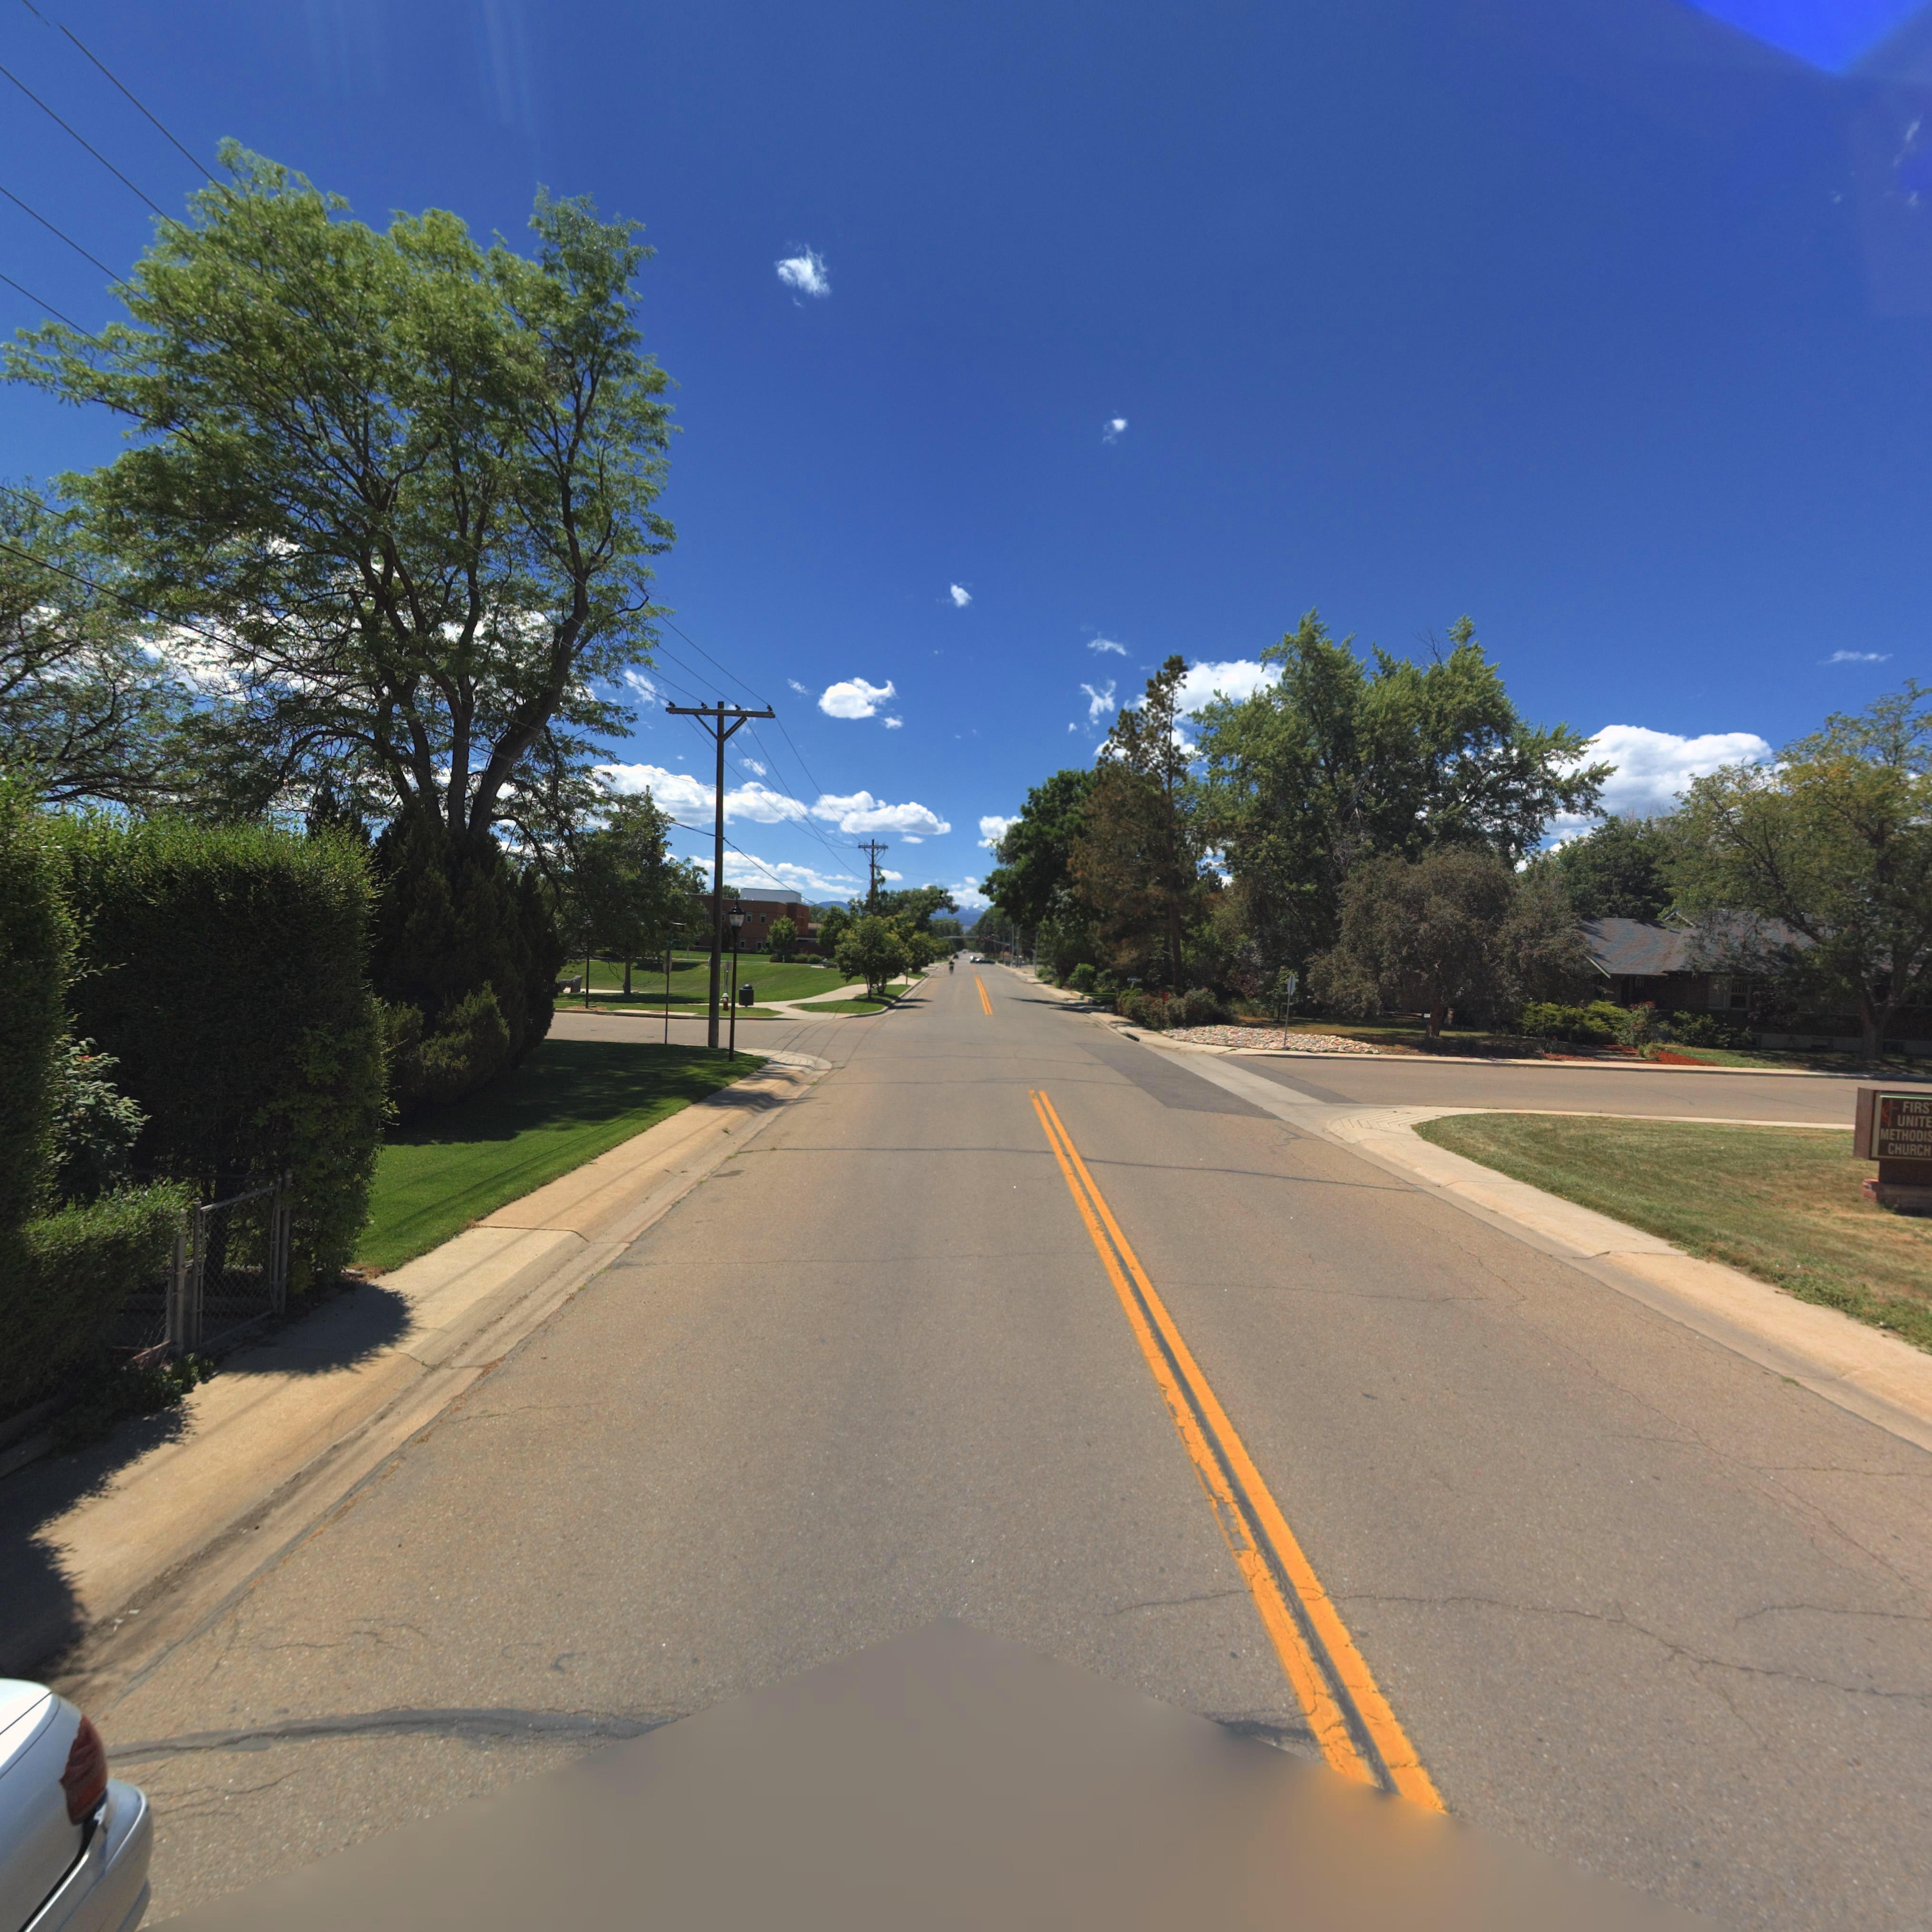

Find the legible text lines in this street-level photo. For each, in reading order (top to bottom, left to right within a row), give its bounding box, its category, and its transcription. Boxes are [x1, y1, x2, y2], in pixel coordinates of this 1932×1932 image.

[1903, 1101, 1929, 1114] BusinessName: FIRS
[1897, 1115, 1929, 1128] BusinessName: UNIT
[1880, 1128, 1927, 1141] BusinessName: METHODI
[1888, 1143, 1929, 1156] BusinessName: CHURCH